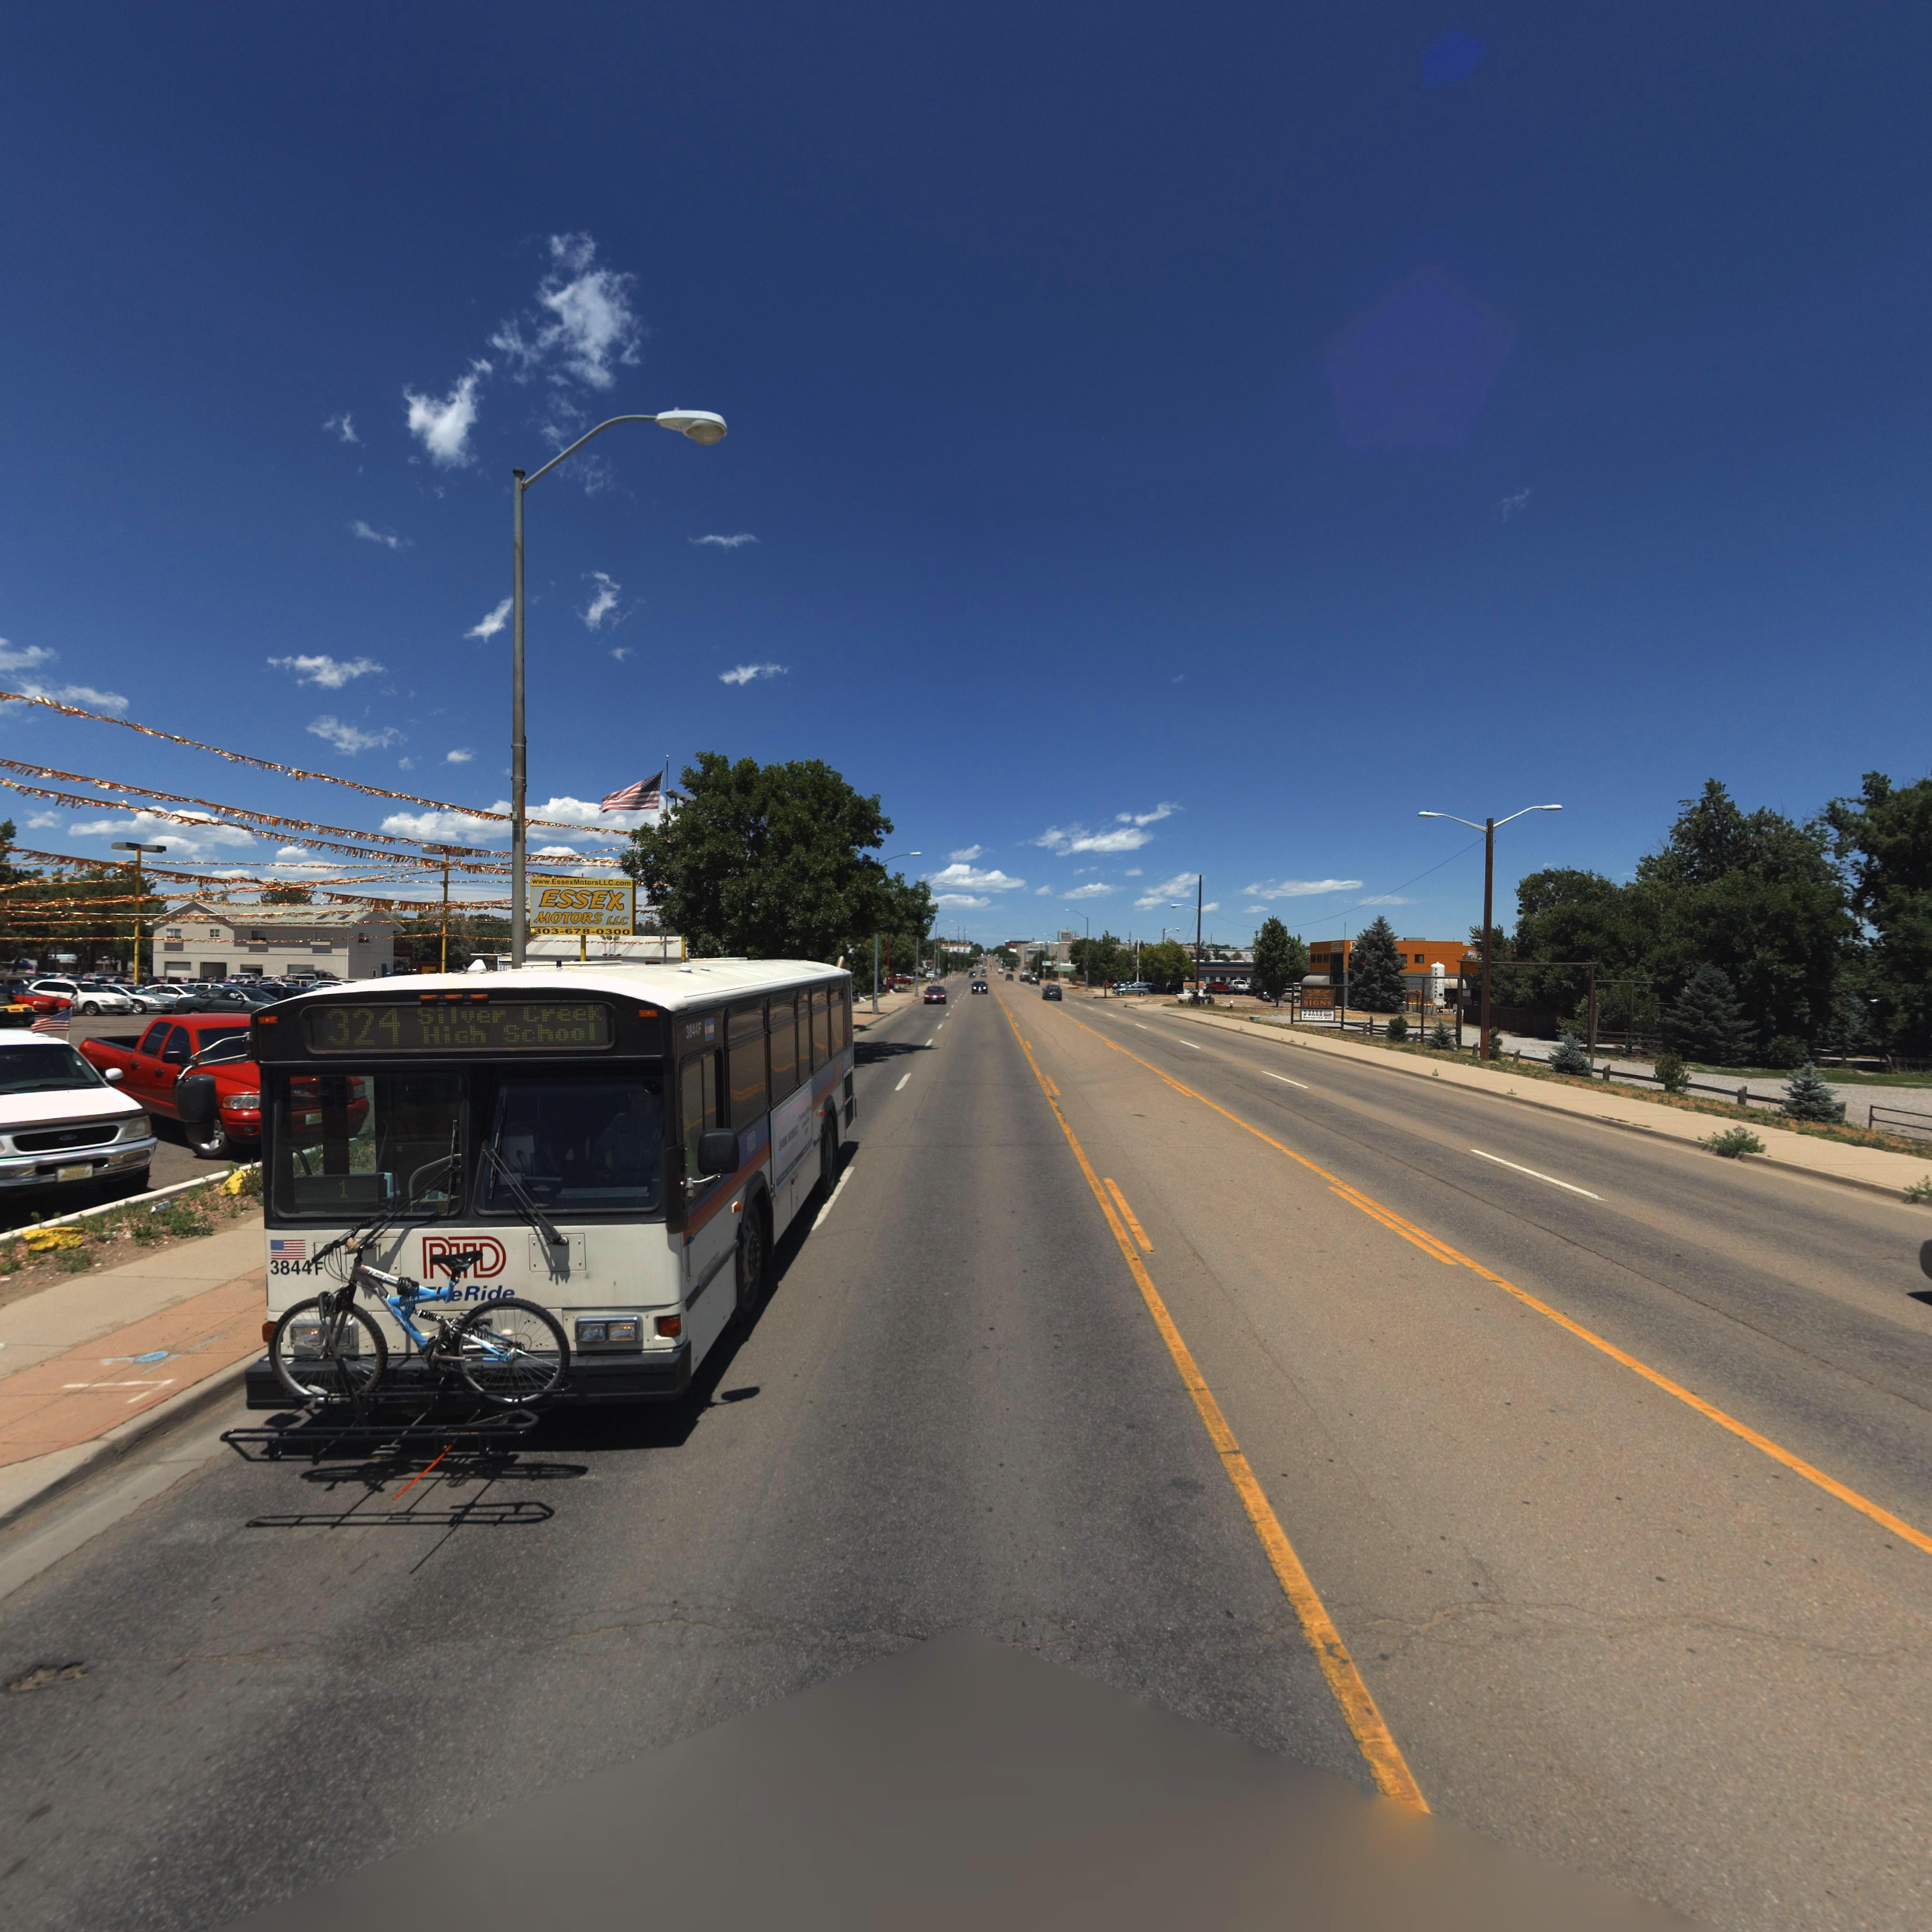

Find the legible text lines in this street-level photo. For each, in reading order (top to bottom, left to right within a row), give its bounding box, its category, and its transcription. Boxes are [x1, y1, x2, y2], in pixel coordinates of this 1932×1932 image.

[537, 889, 626, 913] BusinessName: ESSEX
[531, 910, 629, 925] BusinessName: MOTORS LLC
[1330, 941, 1343, 948] BusinessName: TAYLOR
[1184, 982, 1204, 987] BusinessName: TAY**R
[1313, 989, 1323, 993] BusinessName: RHG
[1304, 995, 1331, 1000] BusinessName: Robbie Hill Graphics
[1303, 1009, 1323, 1016] BusinessName: D-BARN